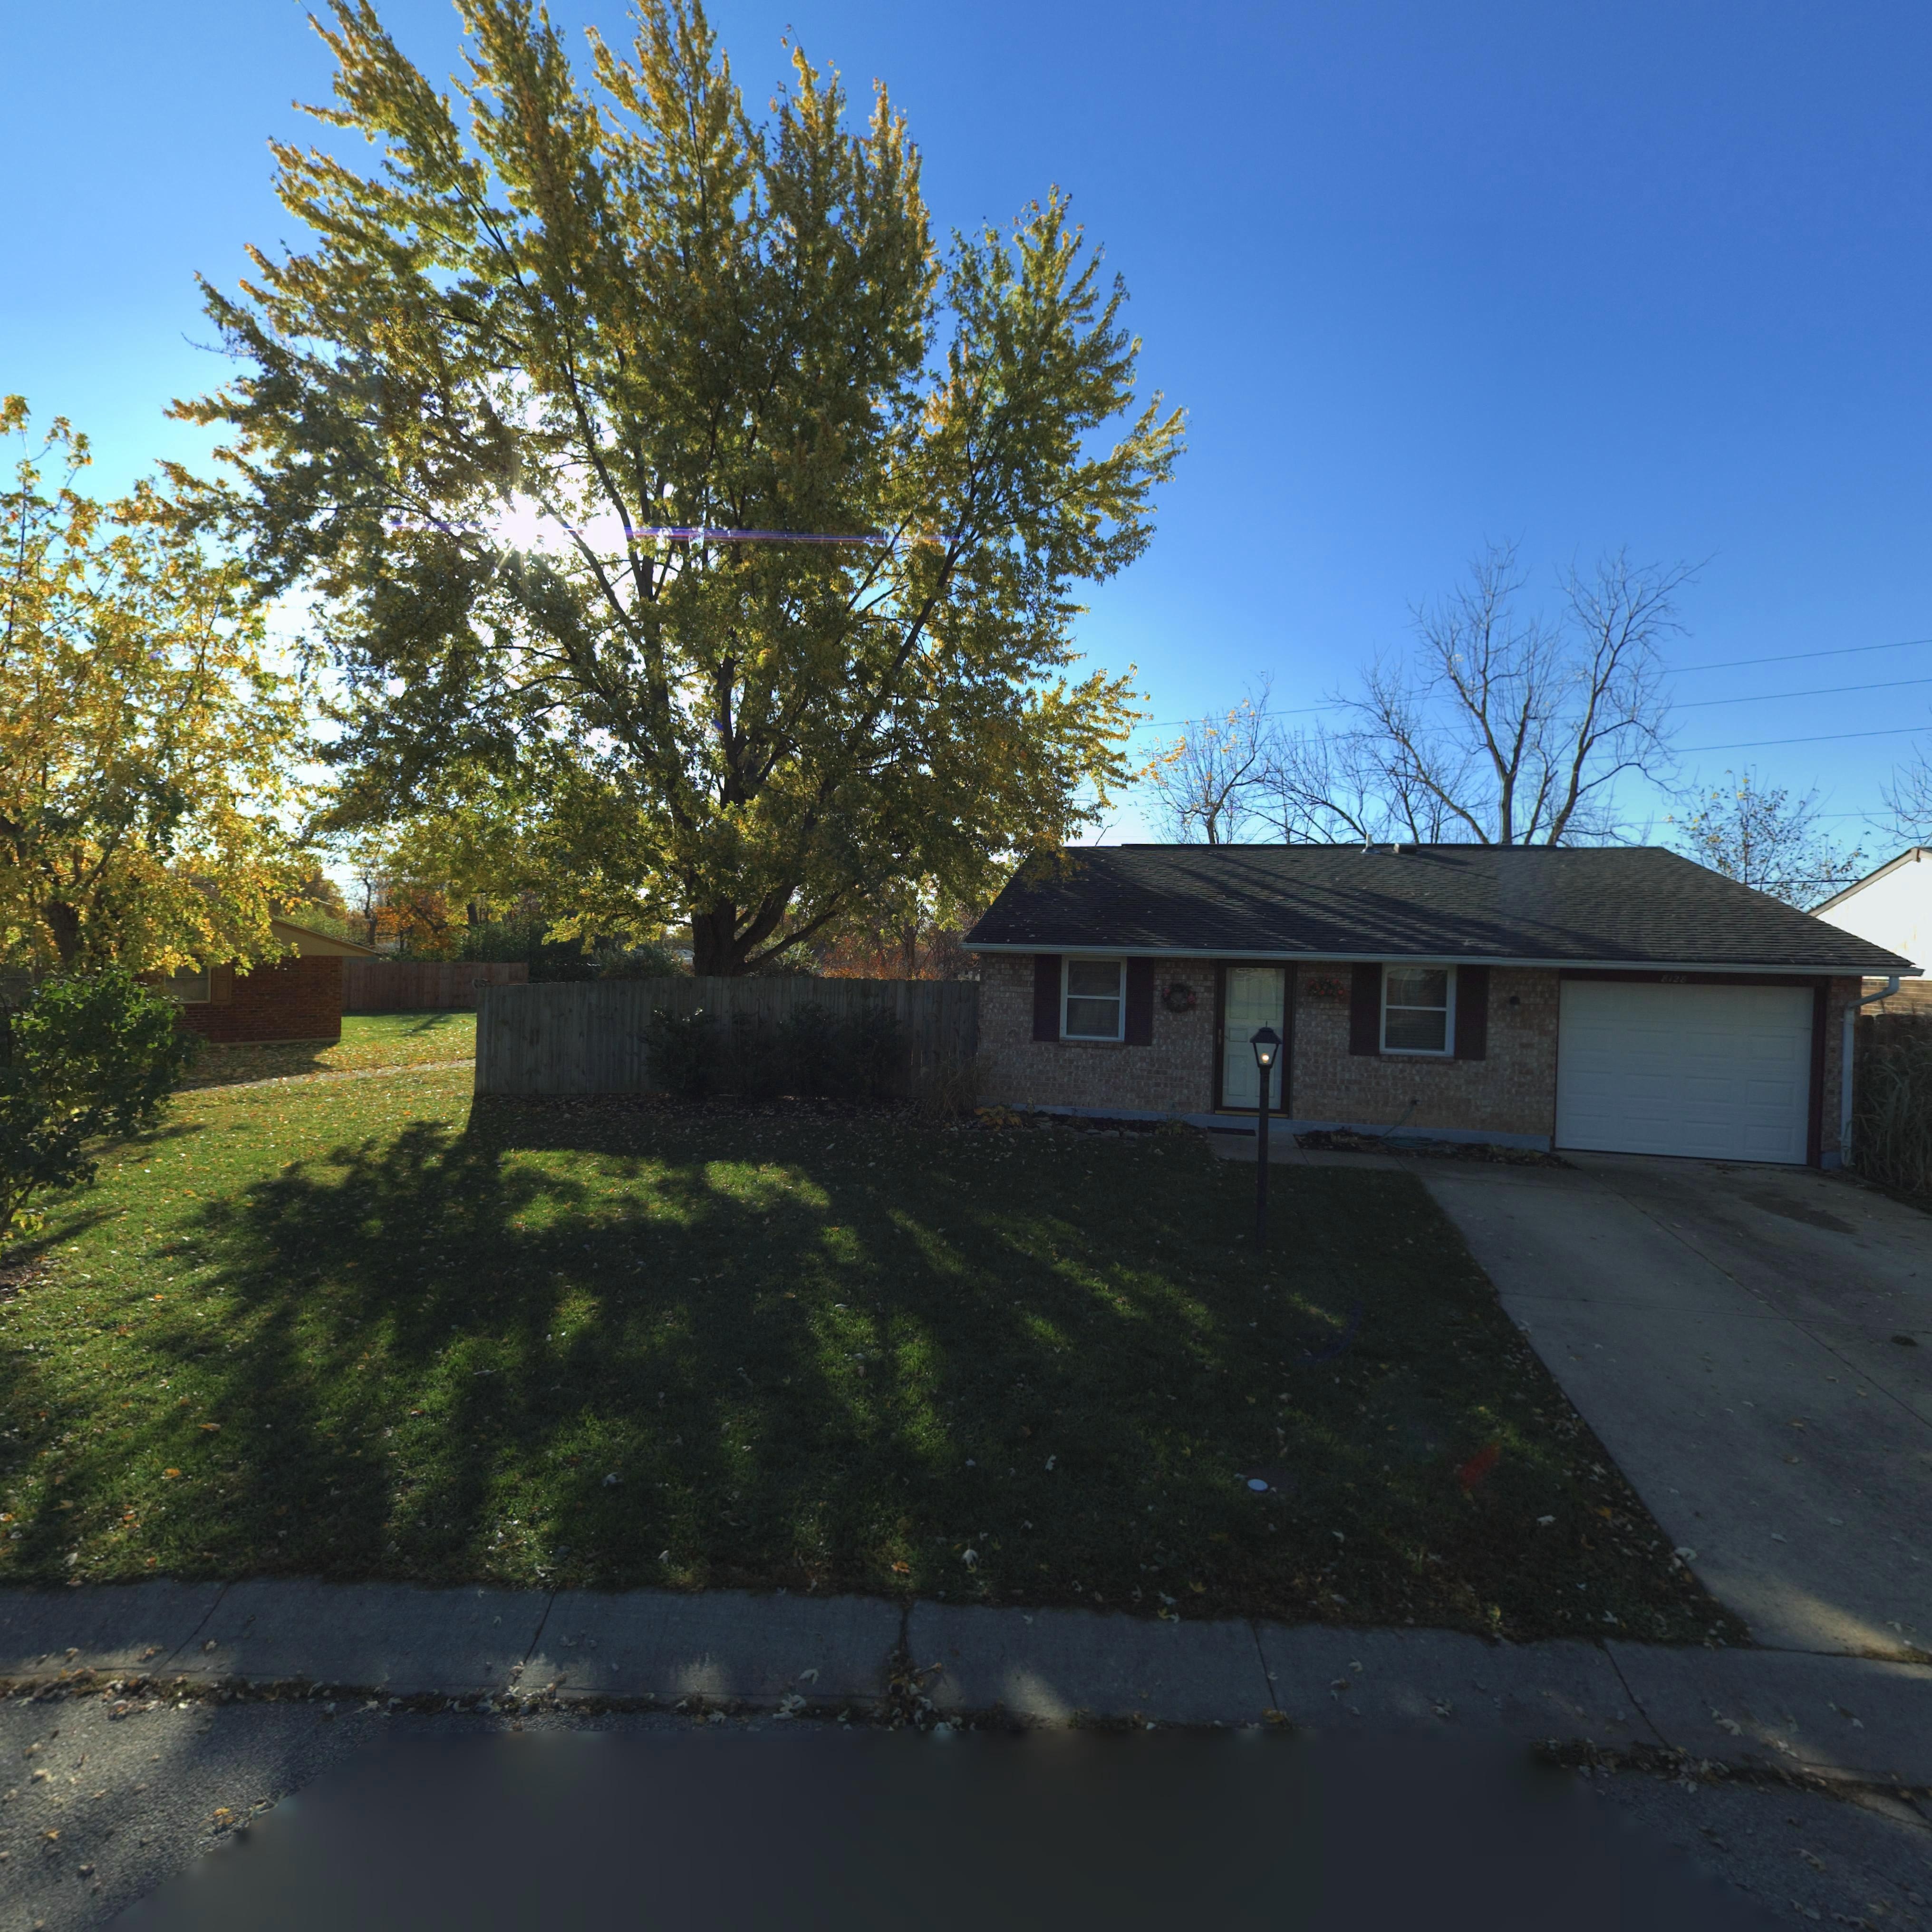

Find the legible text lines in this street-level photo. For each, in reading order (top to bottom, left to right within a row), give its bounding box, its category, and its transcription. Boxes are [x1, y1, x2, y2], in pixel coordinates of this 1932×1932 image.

[1660, 974, 1689, 984] StreetNumber: 8128